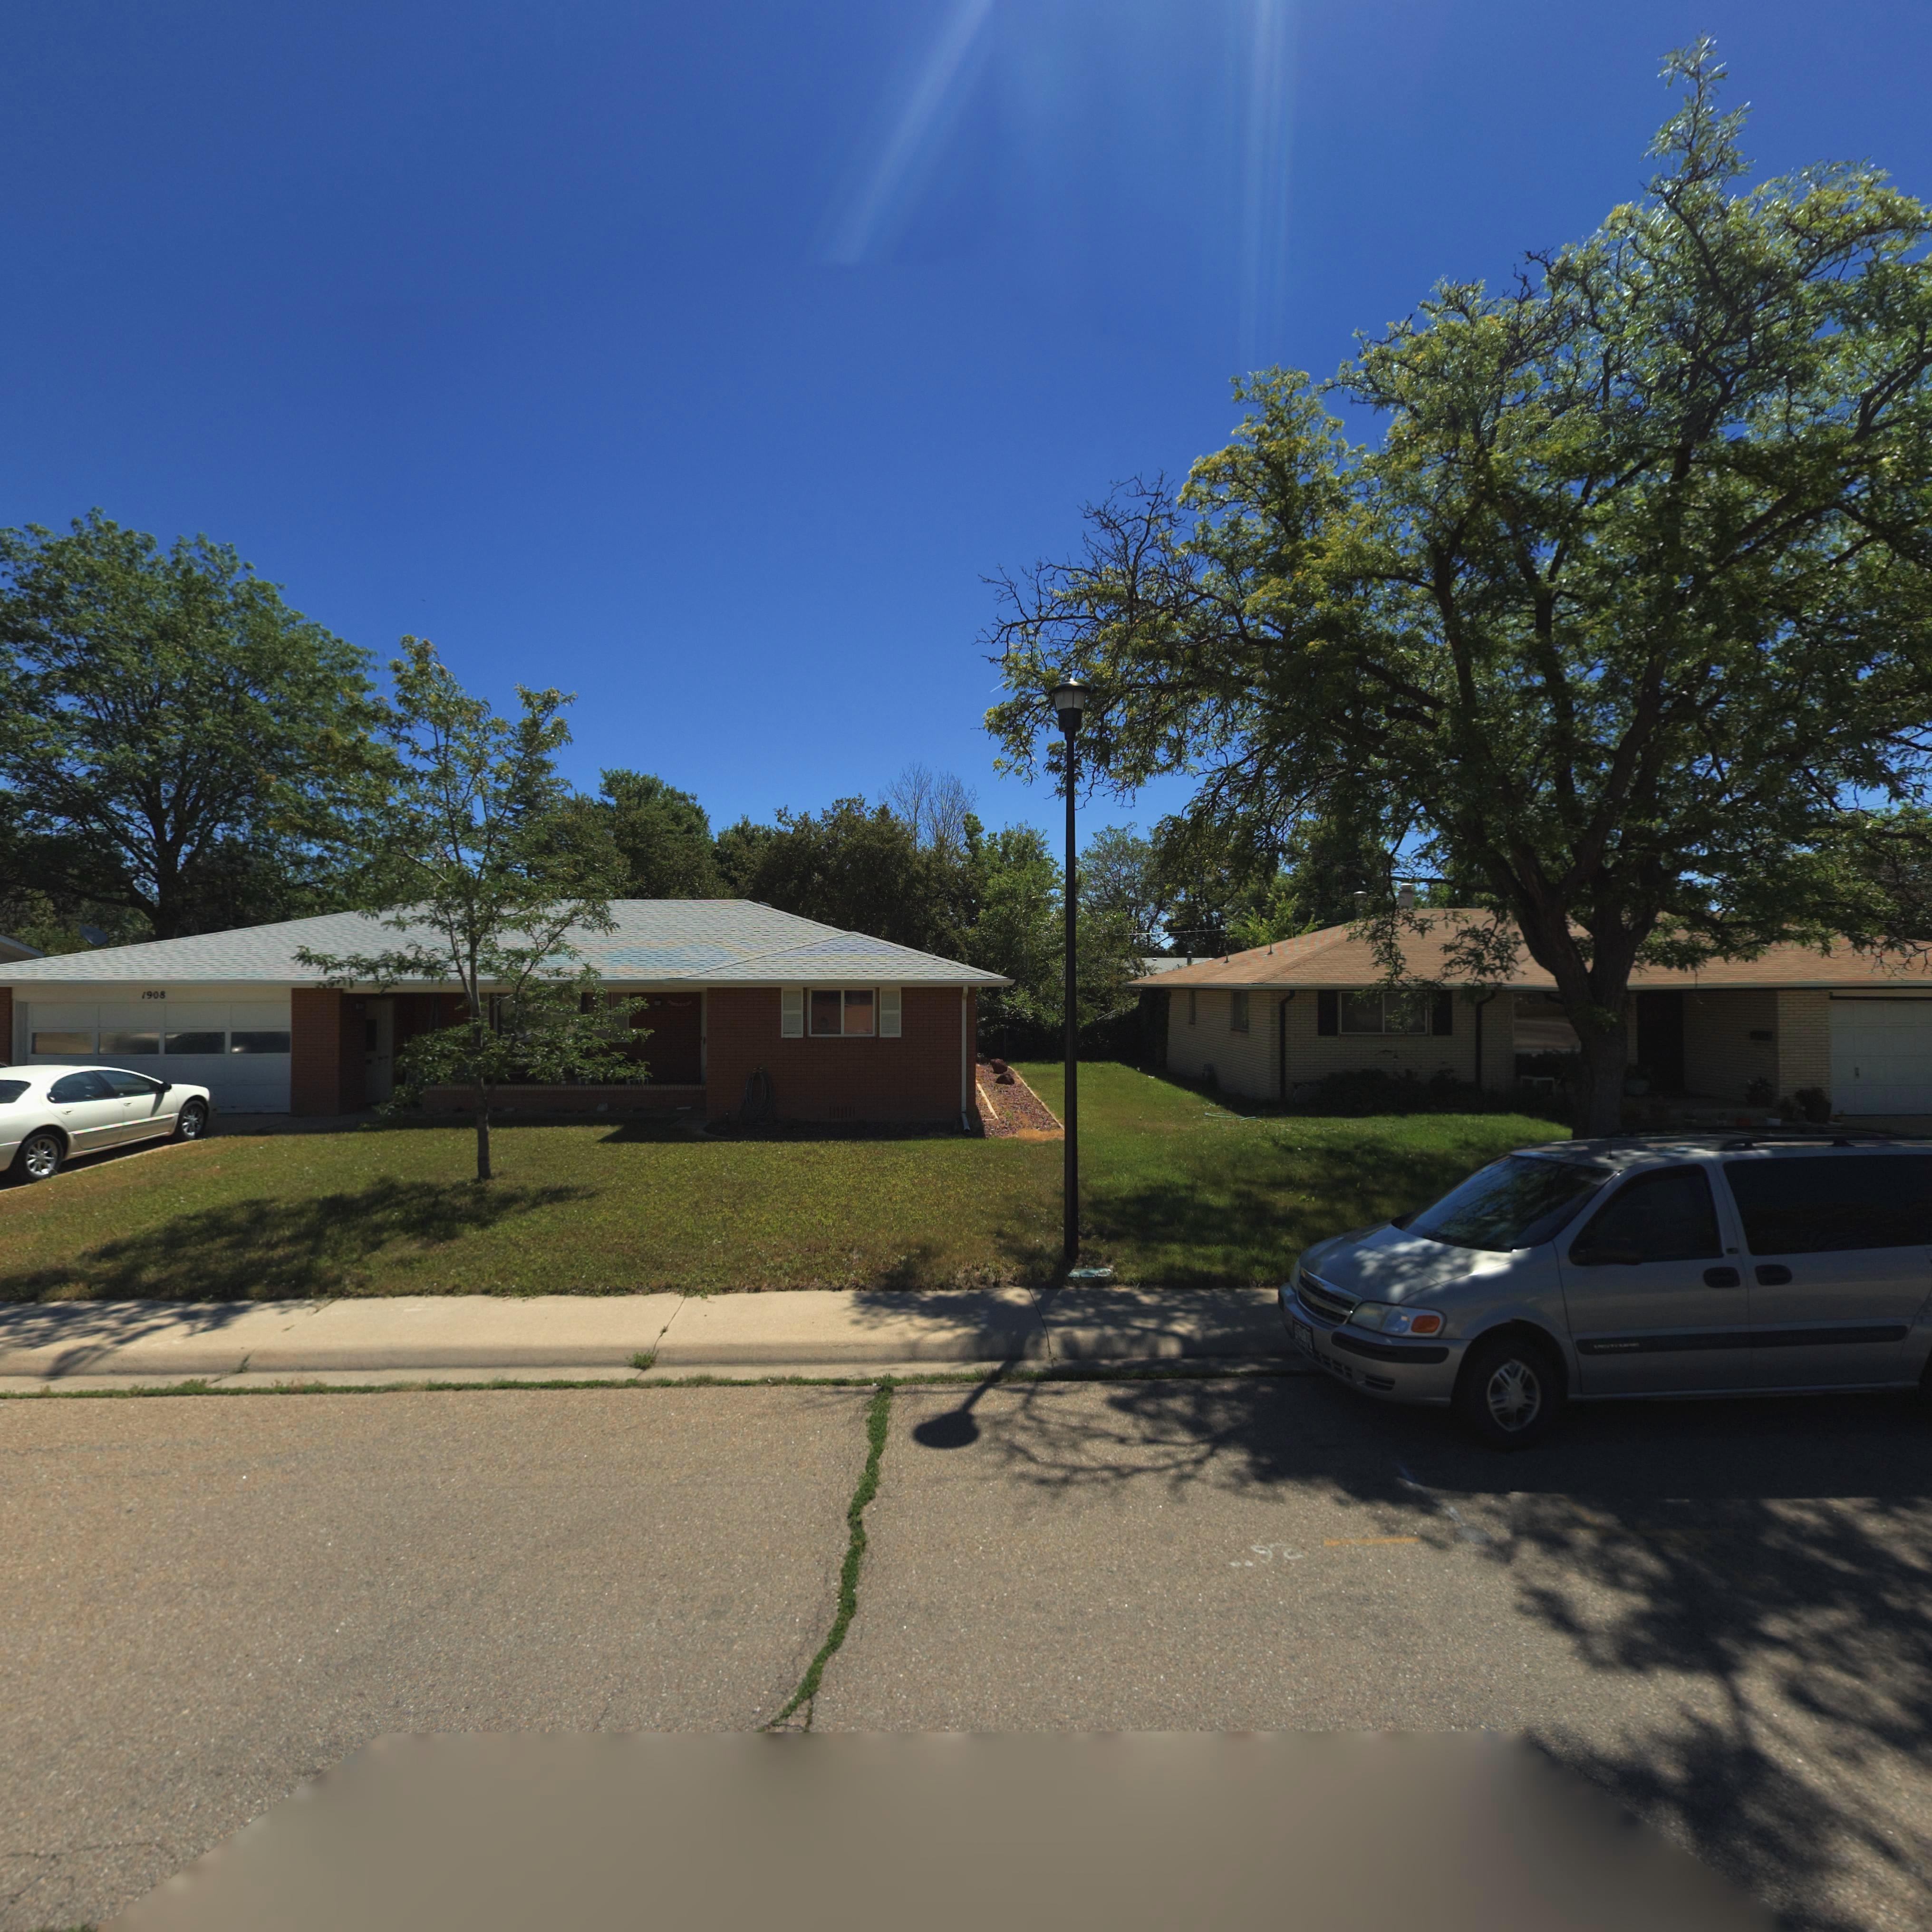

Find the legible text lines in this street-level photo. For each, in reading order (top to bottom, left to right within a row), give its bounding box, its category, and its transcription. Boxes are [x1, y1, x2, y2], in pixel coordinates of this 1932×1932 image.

[140, 990, 166, 999] StreetNumber: 1908